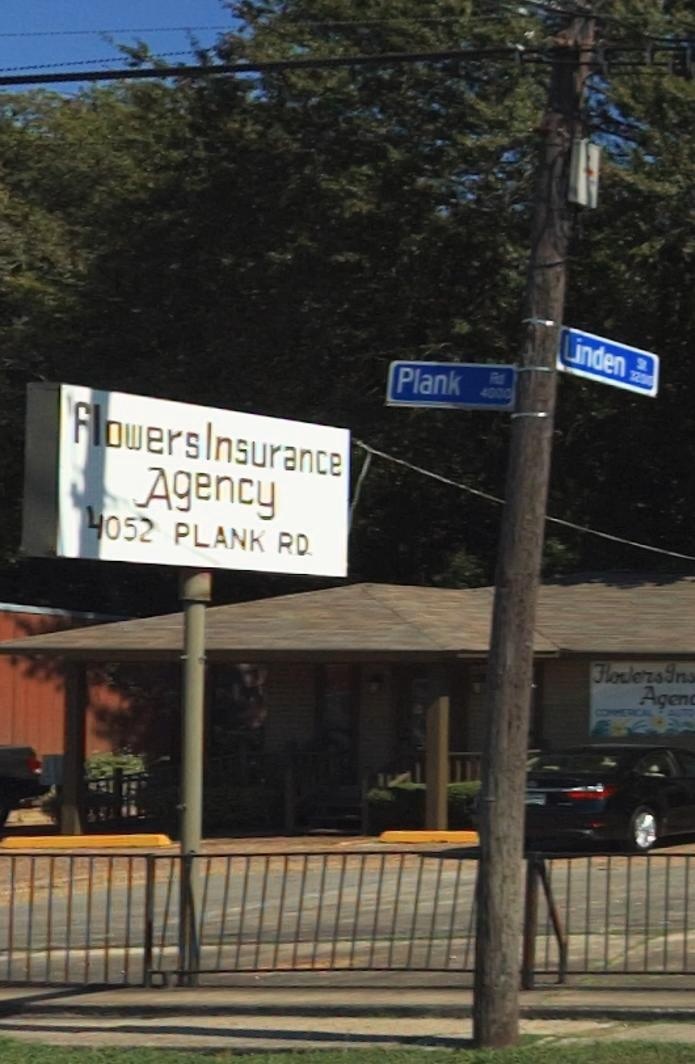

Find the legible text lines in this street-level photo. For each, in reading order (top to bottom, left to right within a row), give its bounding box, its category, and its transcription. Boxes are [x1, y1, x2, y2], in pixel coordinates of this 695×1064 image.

[562, 331, 650, 380] StreetName: Linden St
[394, 365, 510, 397] StreetName: Plank Rd
[478, 384, 515, 402] StreetNumberRange: 4000
[627, 367, 656, 389] StreetNumberRange: 3200
[72, 398, 343, 479] BusinessName: flowersInsurance
[140, 463, 278, 524] BusinessName: Agency
[85, 503, 157, 544] StreetNumber: 4052
[173, 519, 310, 557] StreetName: PLANK RD
[636, 683, 690, 710] BusinessName: Agen